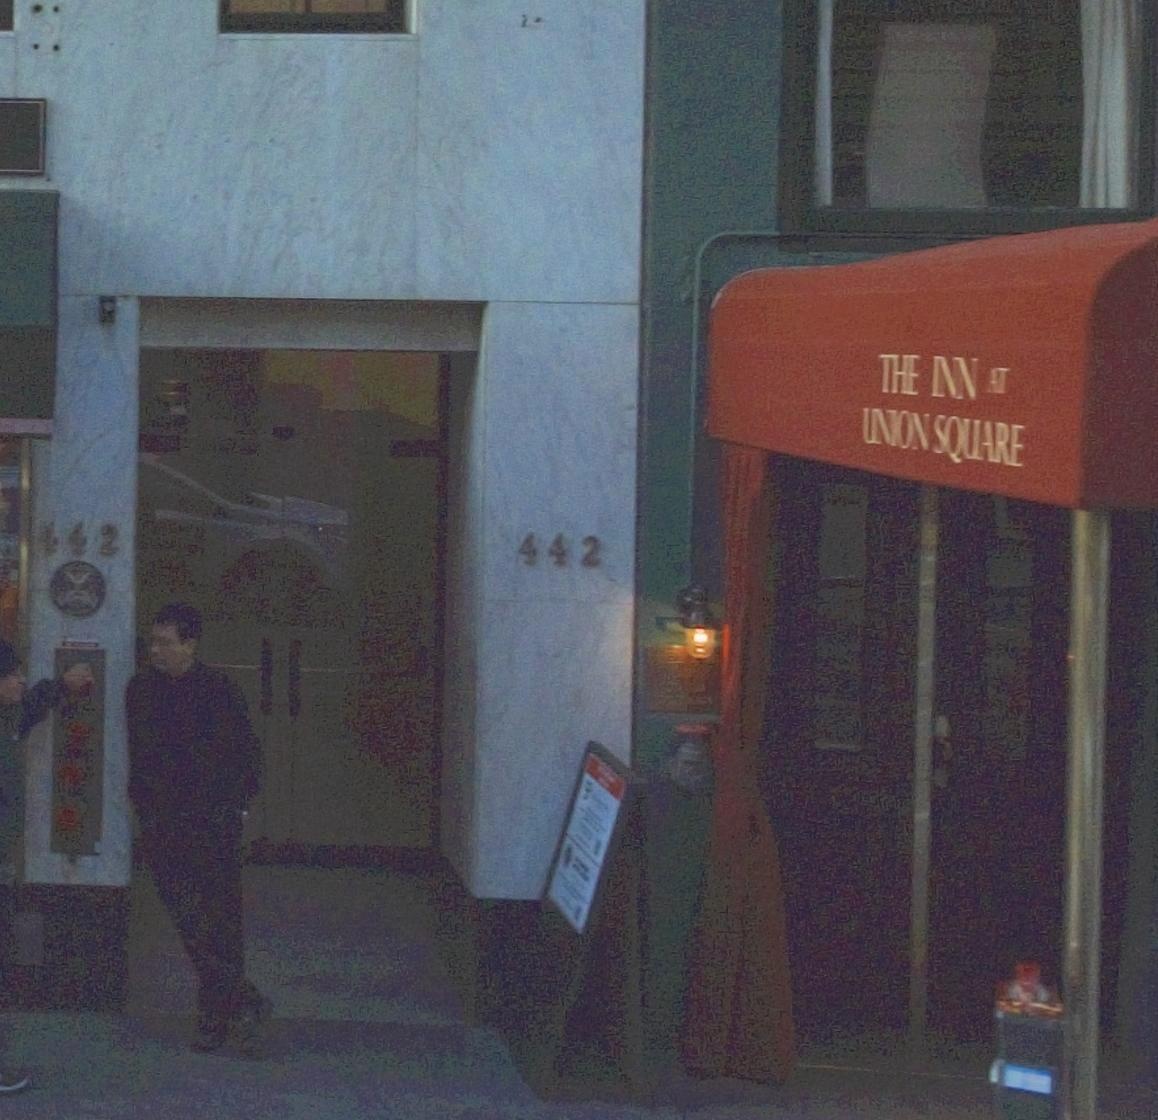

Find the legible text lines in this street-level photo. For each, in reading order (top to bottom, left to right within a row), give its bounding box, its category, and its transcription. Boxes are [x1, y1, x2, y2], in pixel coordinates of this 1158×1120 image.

[875, 350, 1013, 403] BusinessName: THE INN AT
[861, 404, 1027, 473] BusinessName: UNION SQUARE
[35, 518, 122, 559] StreetNumber: 442
[515, 527, 605, 573] StreetNumber: 442